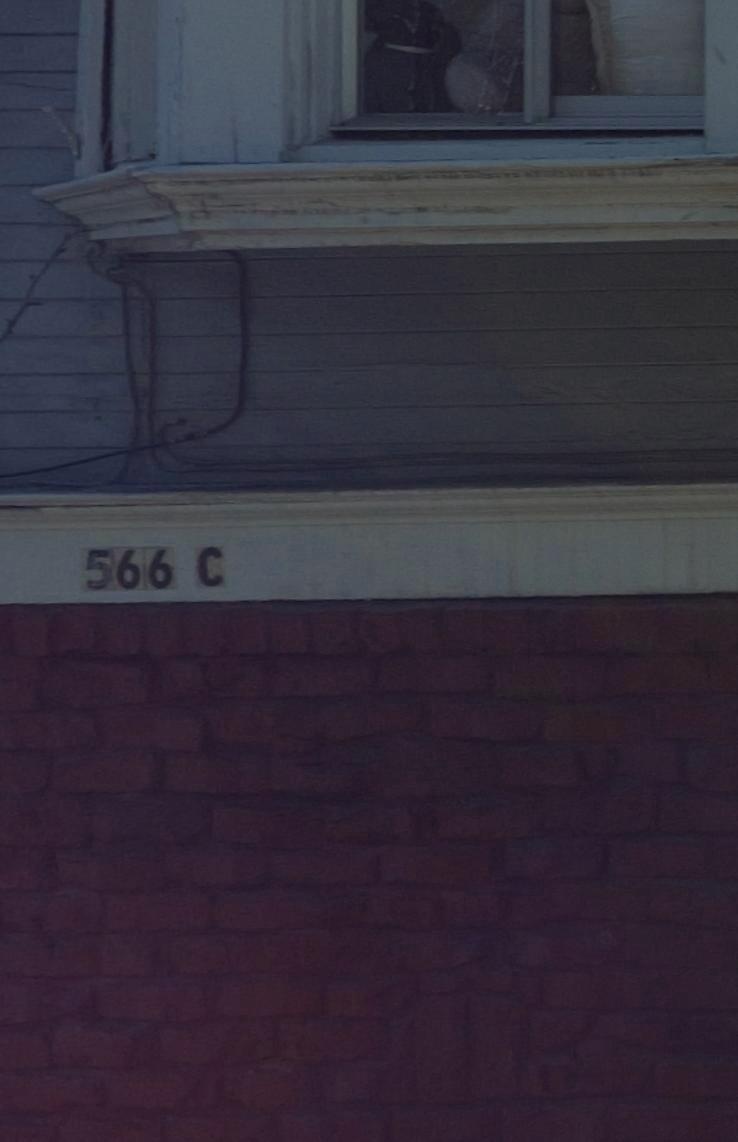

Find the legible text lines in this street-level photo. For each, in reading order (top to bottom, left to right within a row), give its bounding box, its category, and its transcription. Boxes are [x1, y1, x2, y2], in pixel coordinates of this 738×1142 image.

[83, 545, 226, 591] StreetNumber: 566 C